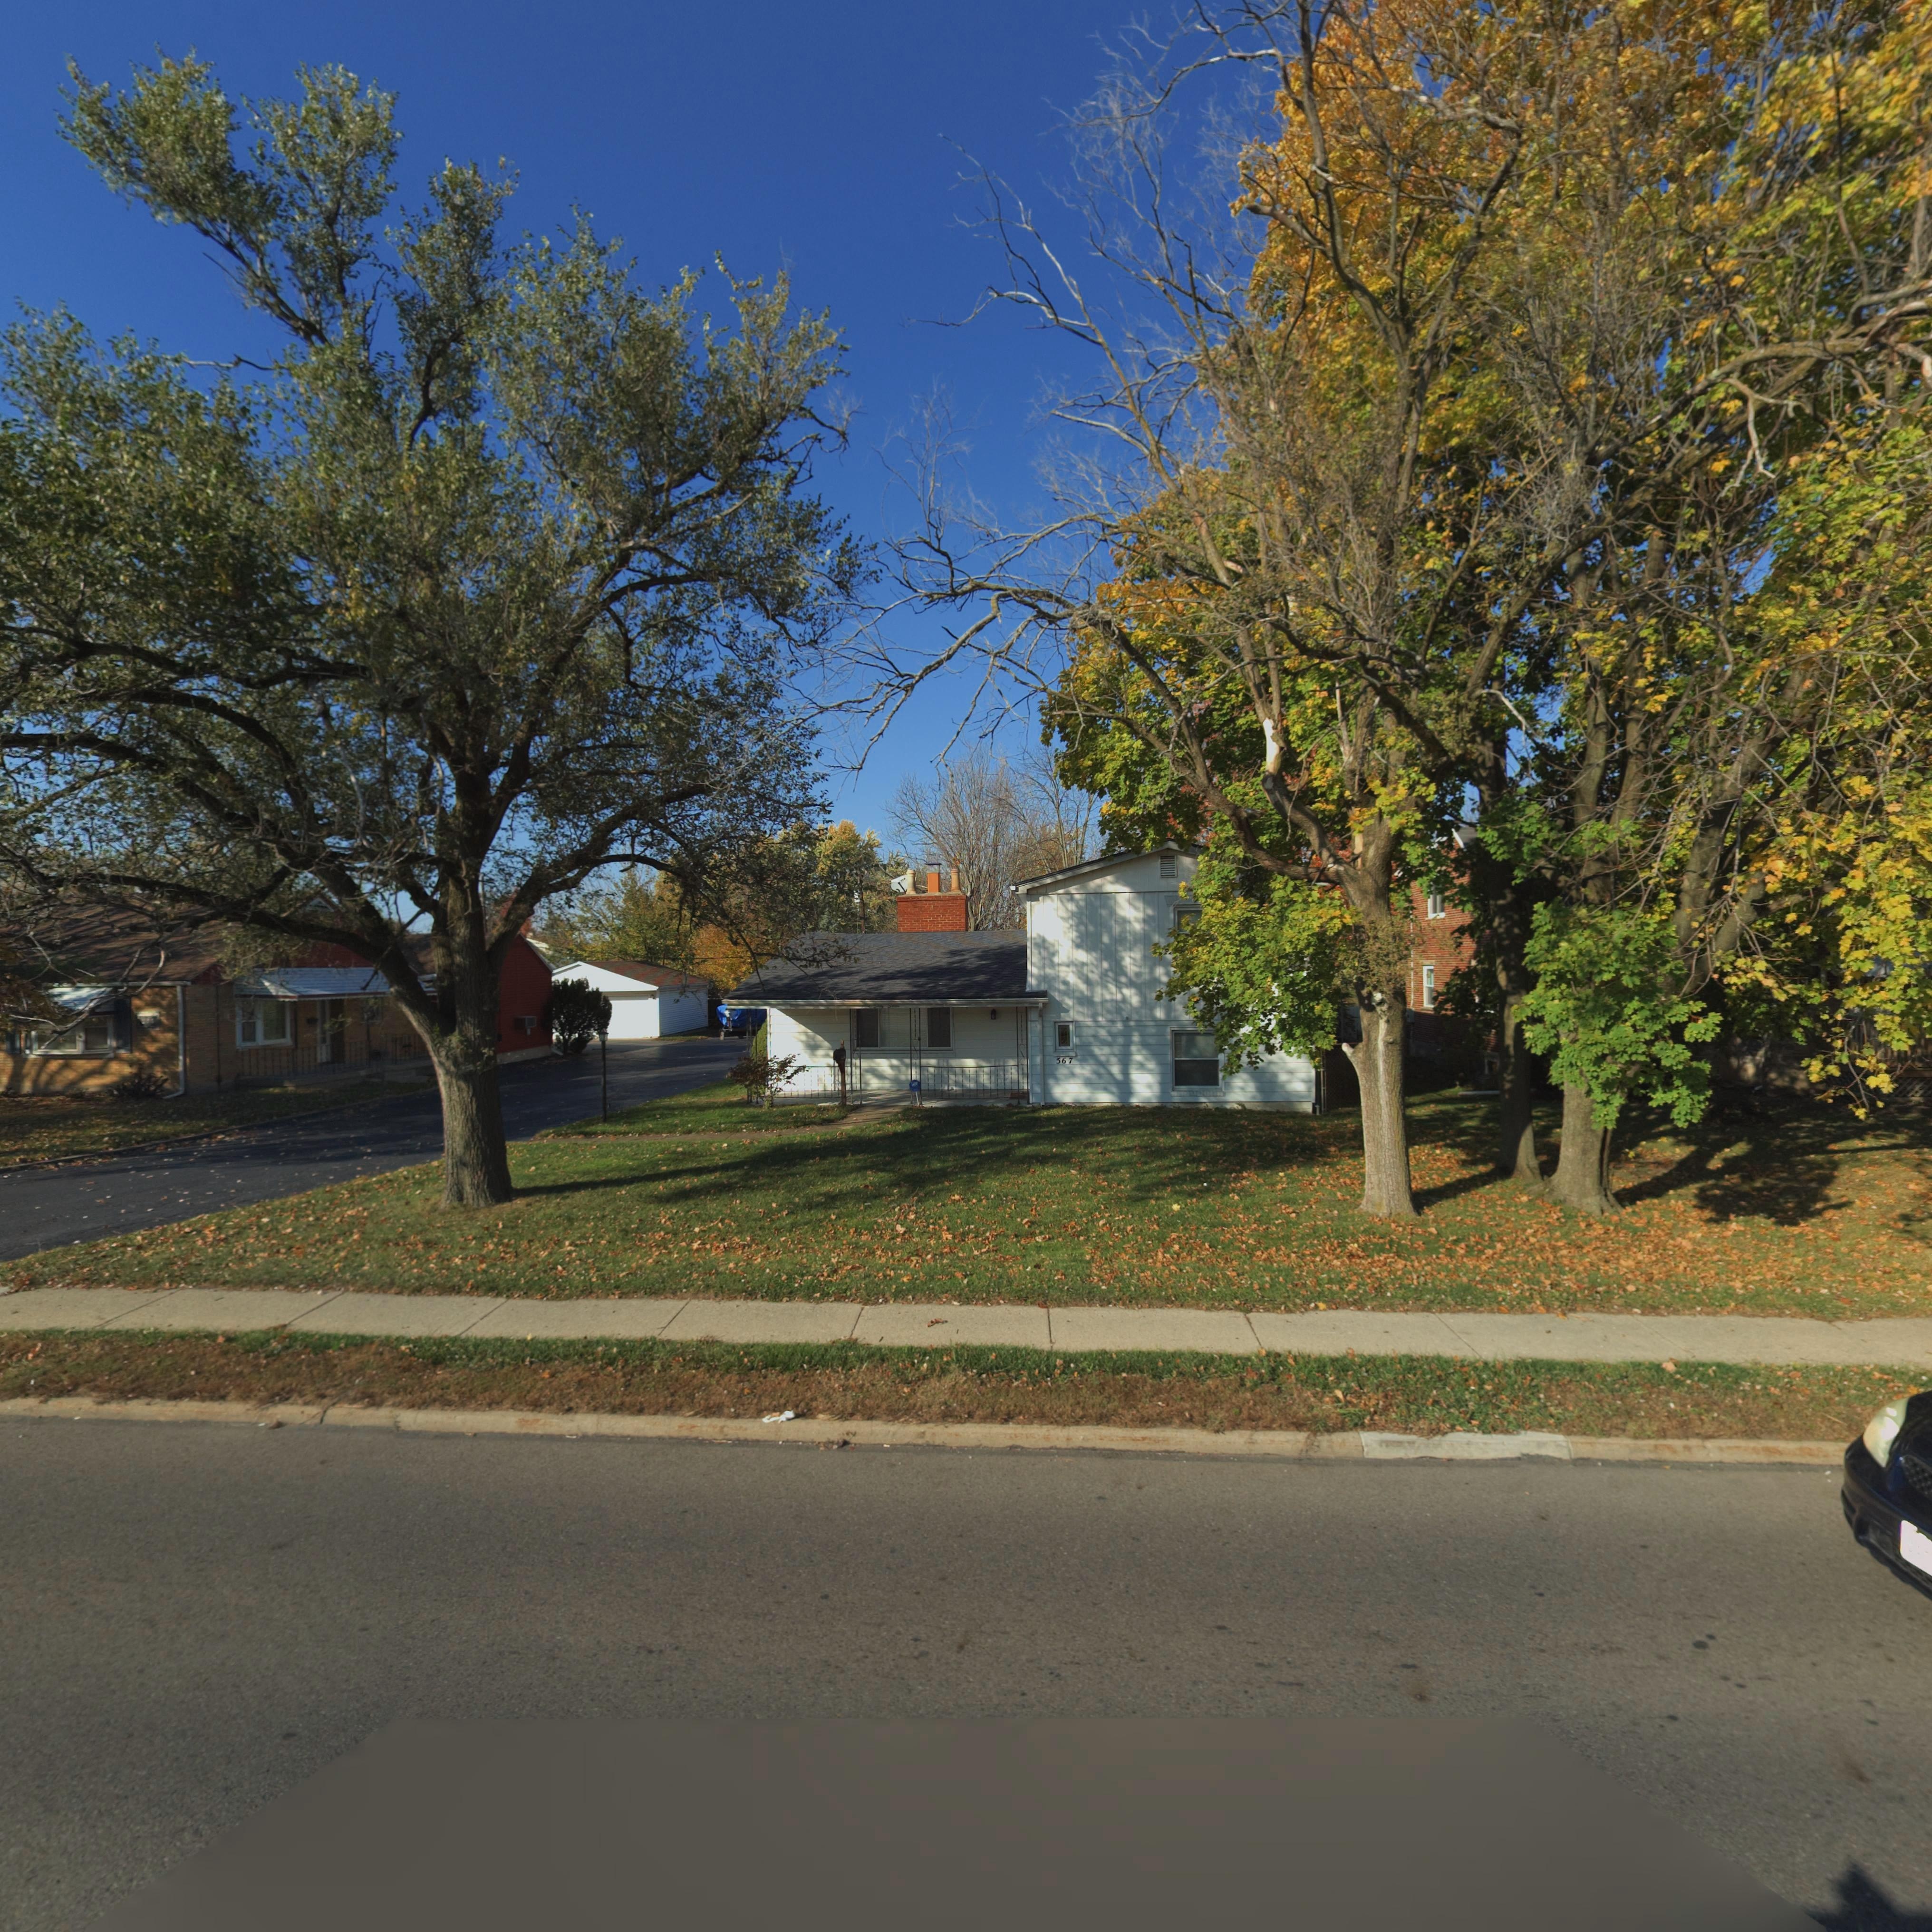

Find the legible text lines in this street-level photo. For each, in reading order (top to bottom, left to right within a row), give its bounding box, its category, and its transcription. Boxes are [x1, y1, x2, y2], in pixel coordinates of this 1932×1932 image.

[1055, 1057, 1074, 1064] StreetNumber: 567